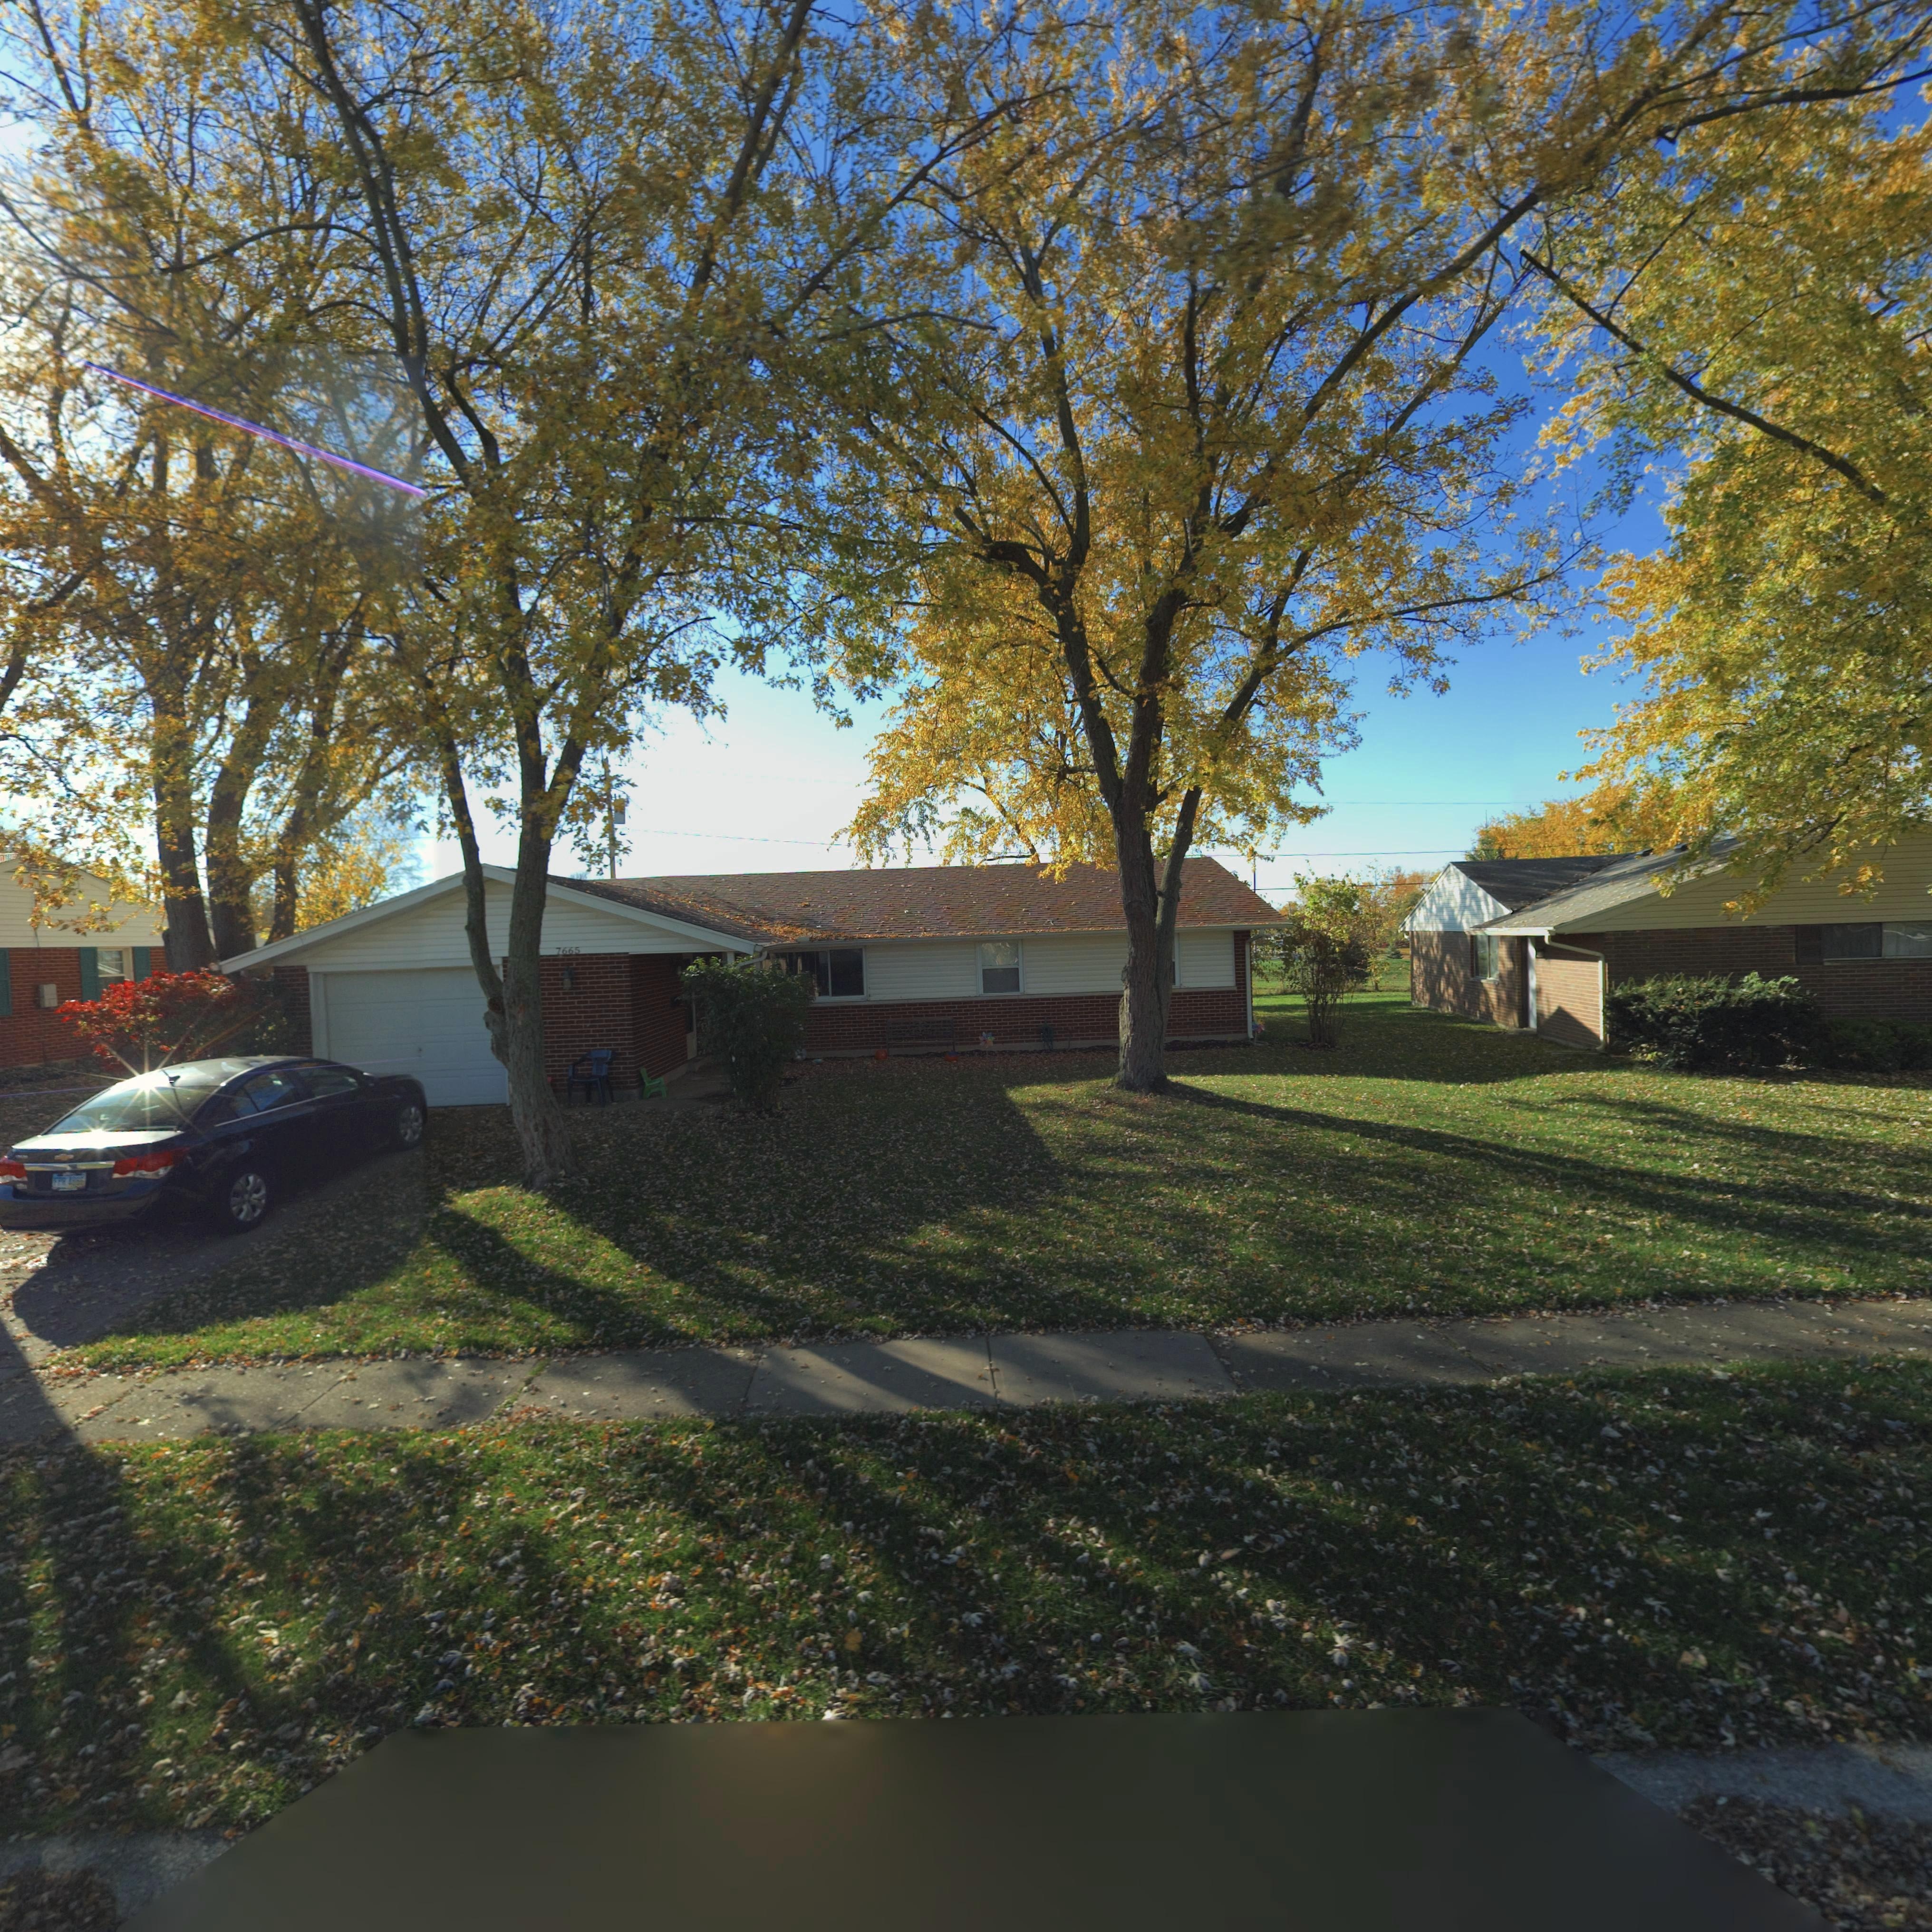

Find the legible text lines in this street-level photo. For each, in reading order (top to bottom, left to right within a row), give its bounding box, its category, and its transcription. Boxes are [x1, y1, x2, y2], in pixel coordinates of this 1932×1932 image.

[554, 946, 582, 956] StreetNumber: 7665